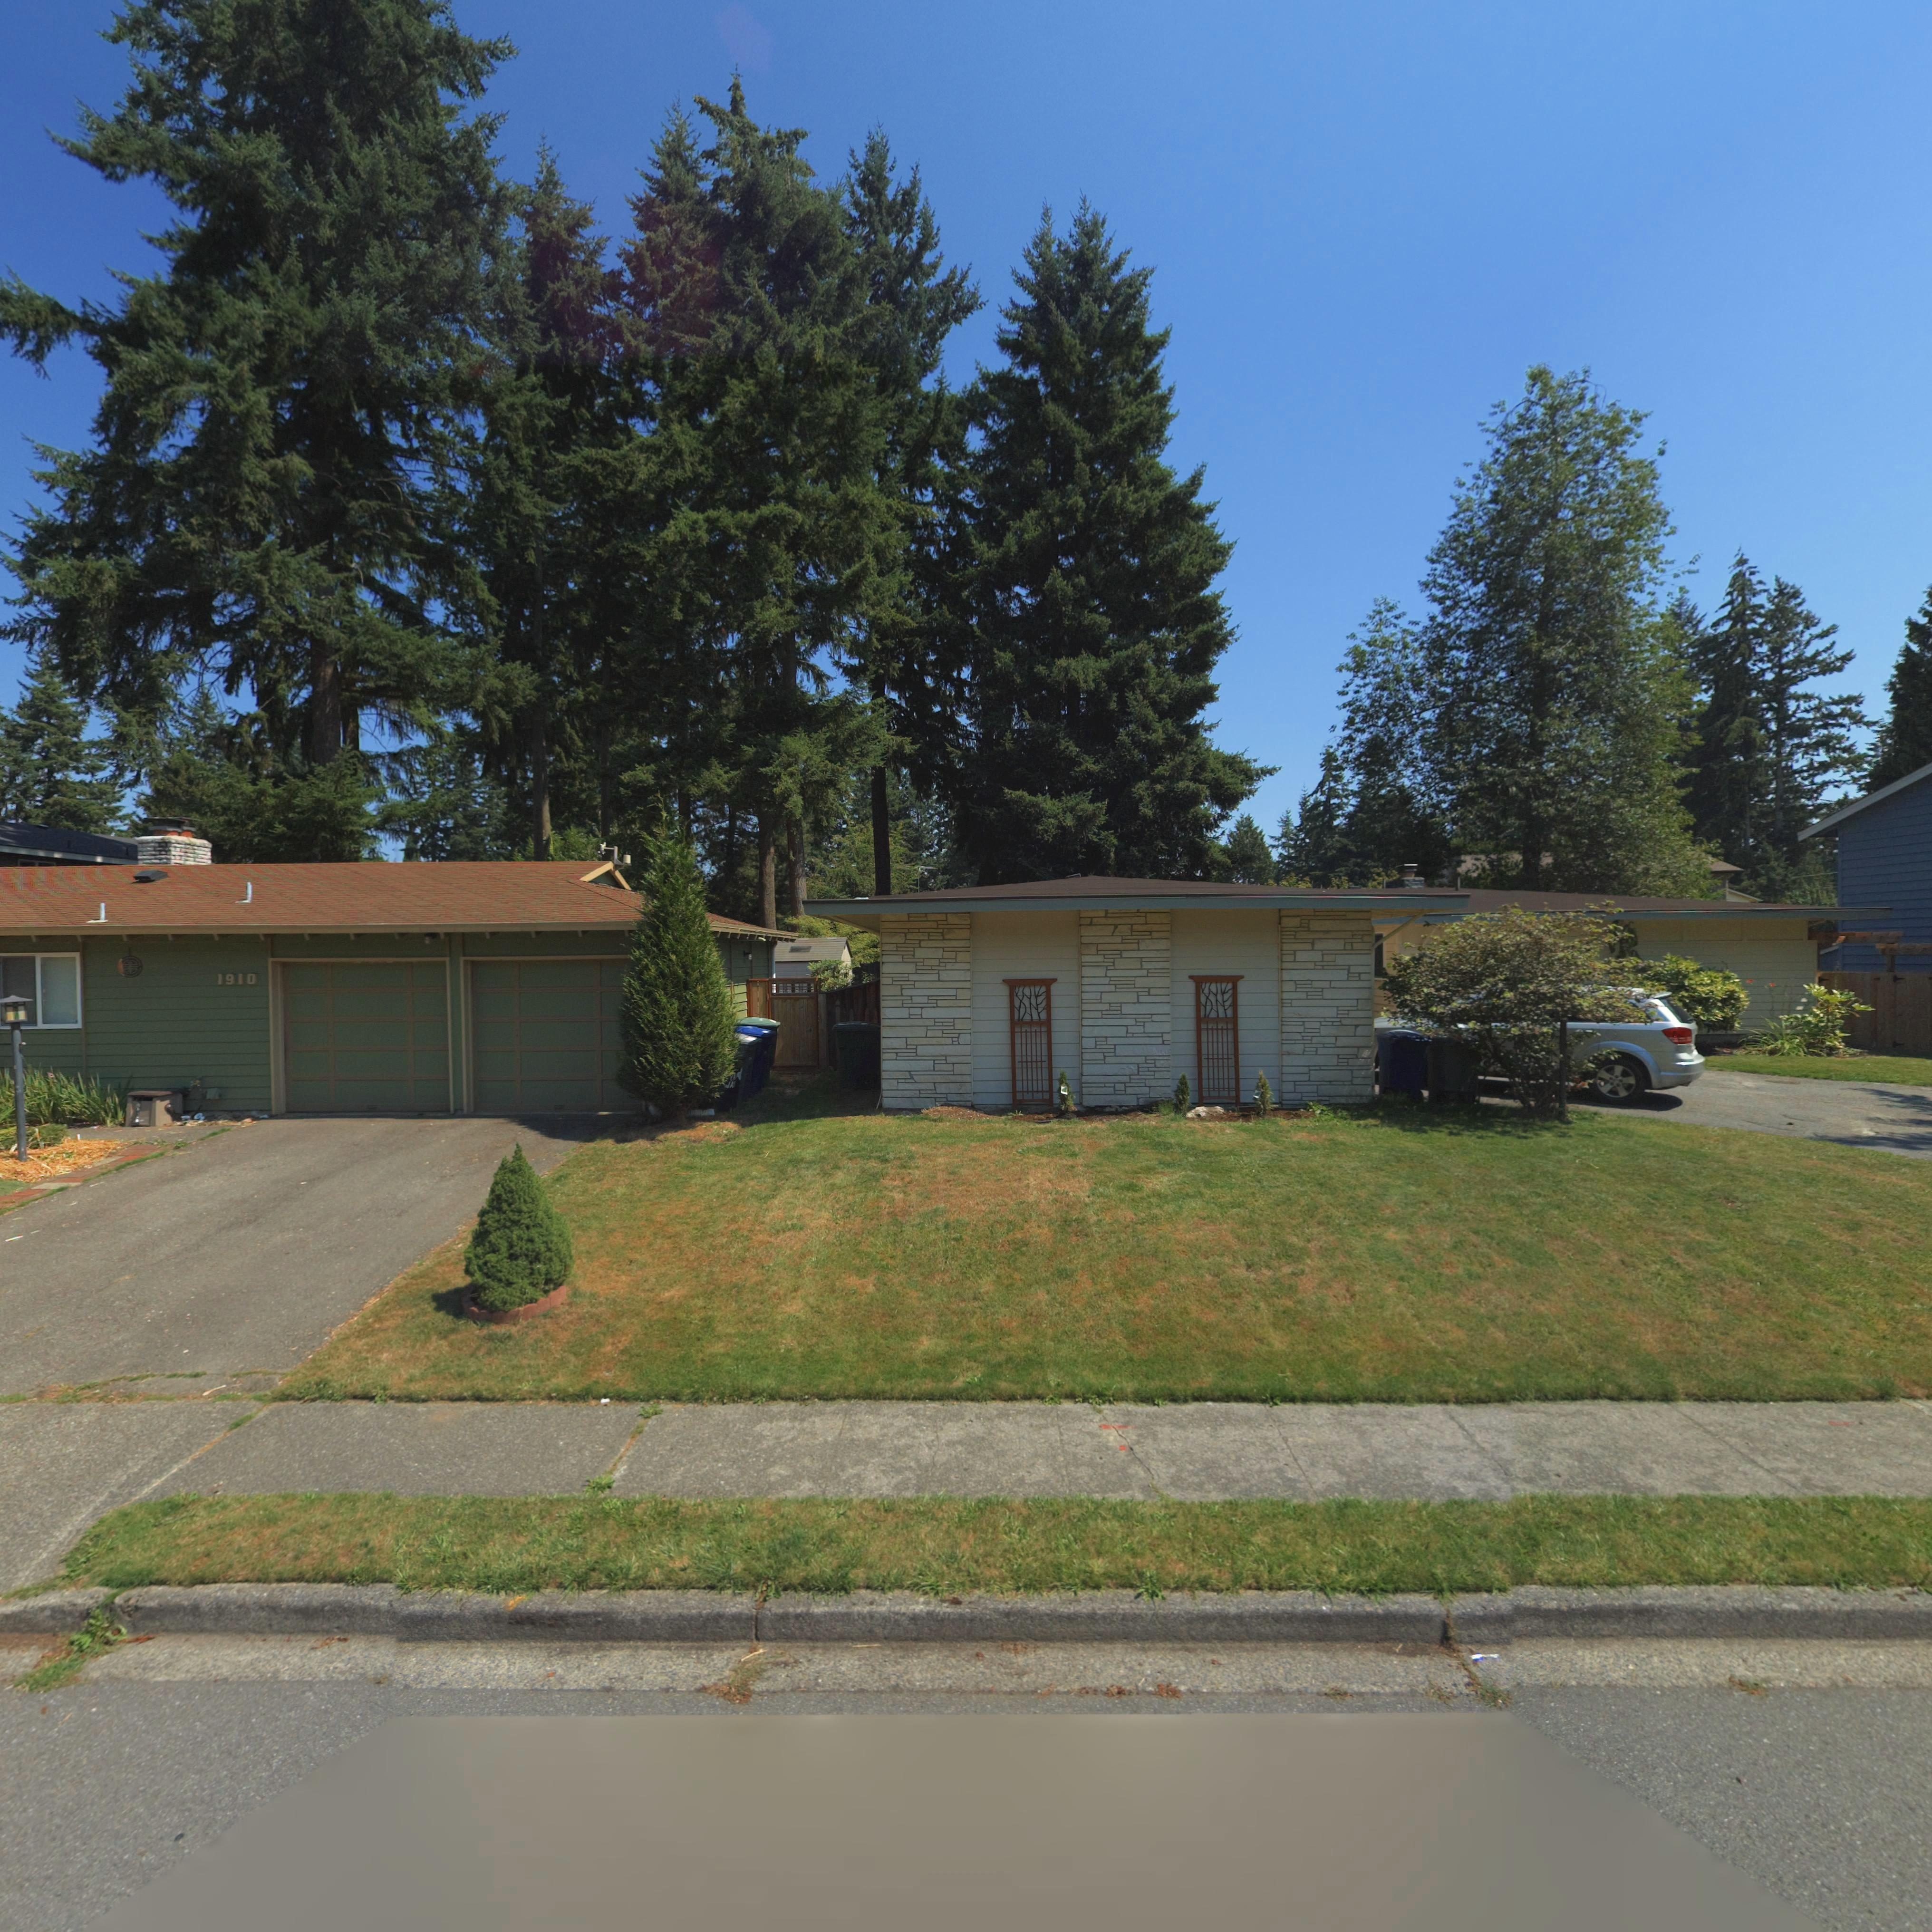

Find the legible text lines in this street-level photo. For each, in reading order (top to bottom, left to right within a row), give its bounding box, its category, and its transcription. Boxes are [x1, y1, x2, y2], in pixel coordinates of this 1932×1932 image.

[216, 973, 256, 985] StreetNumber: 1910